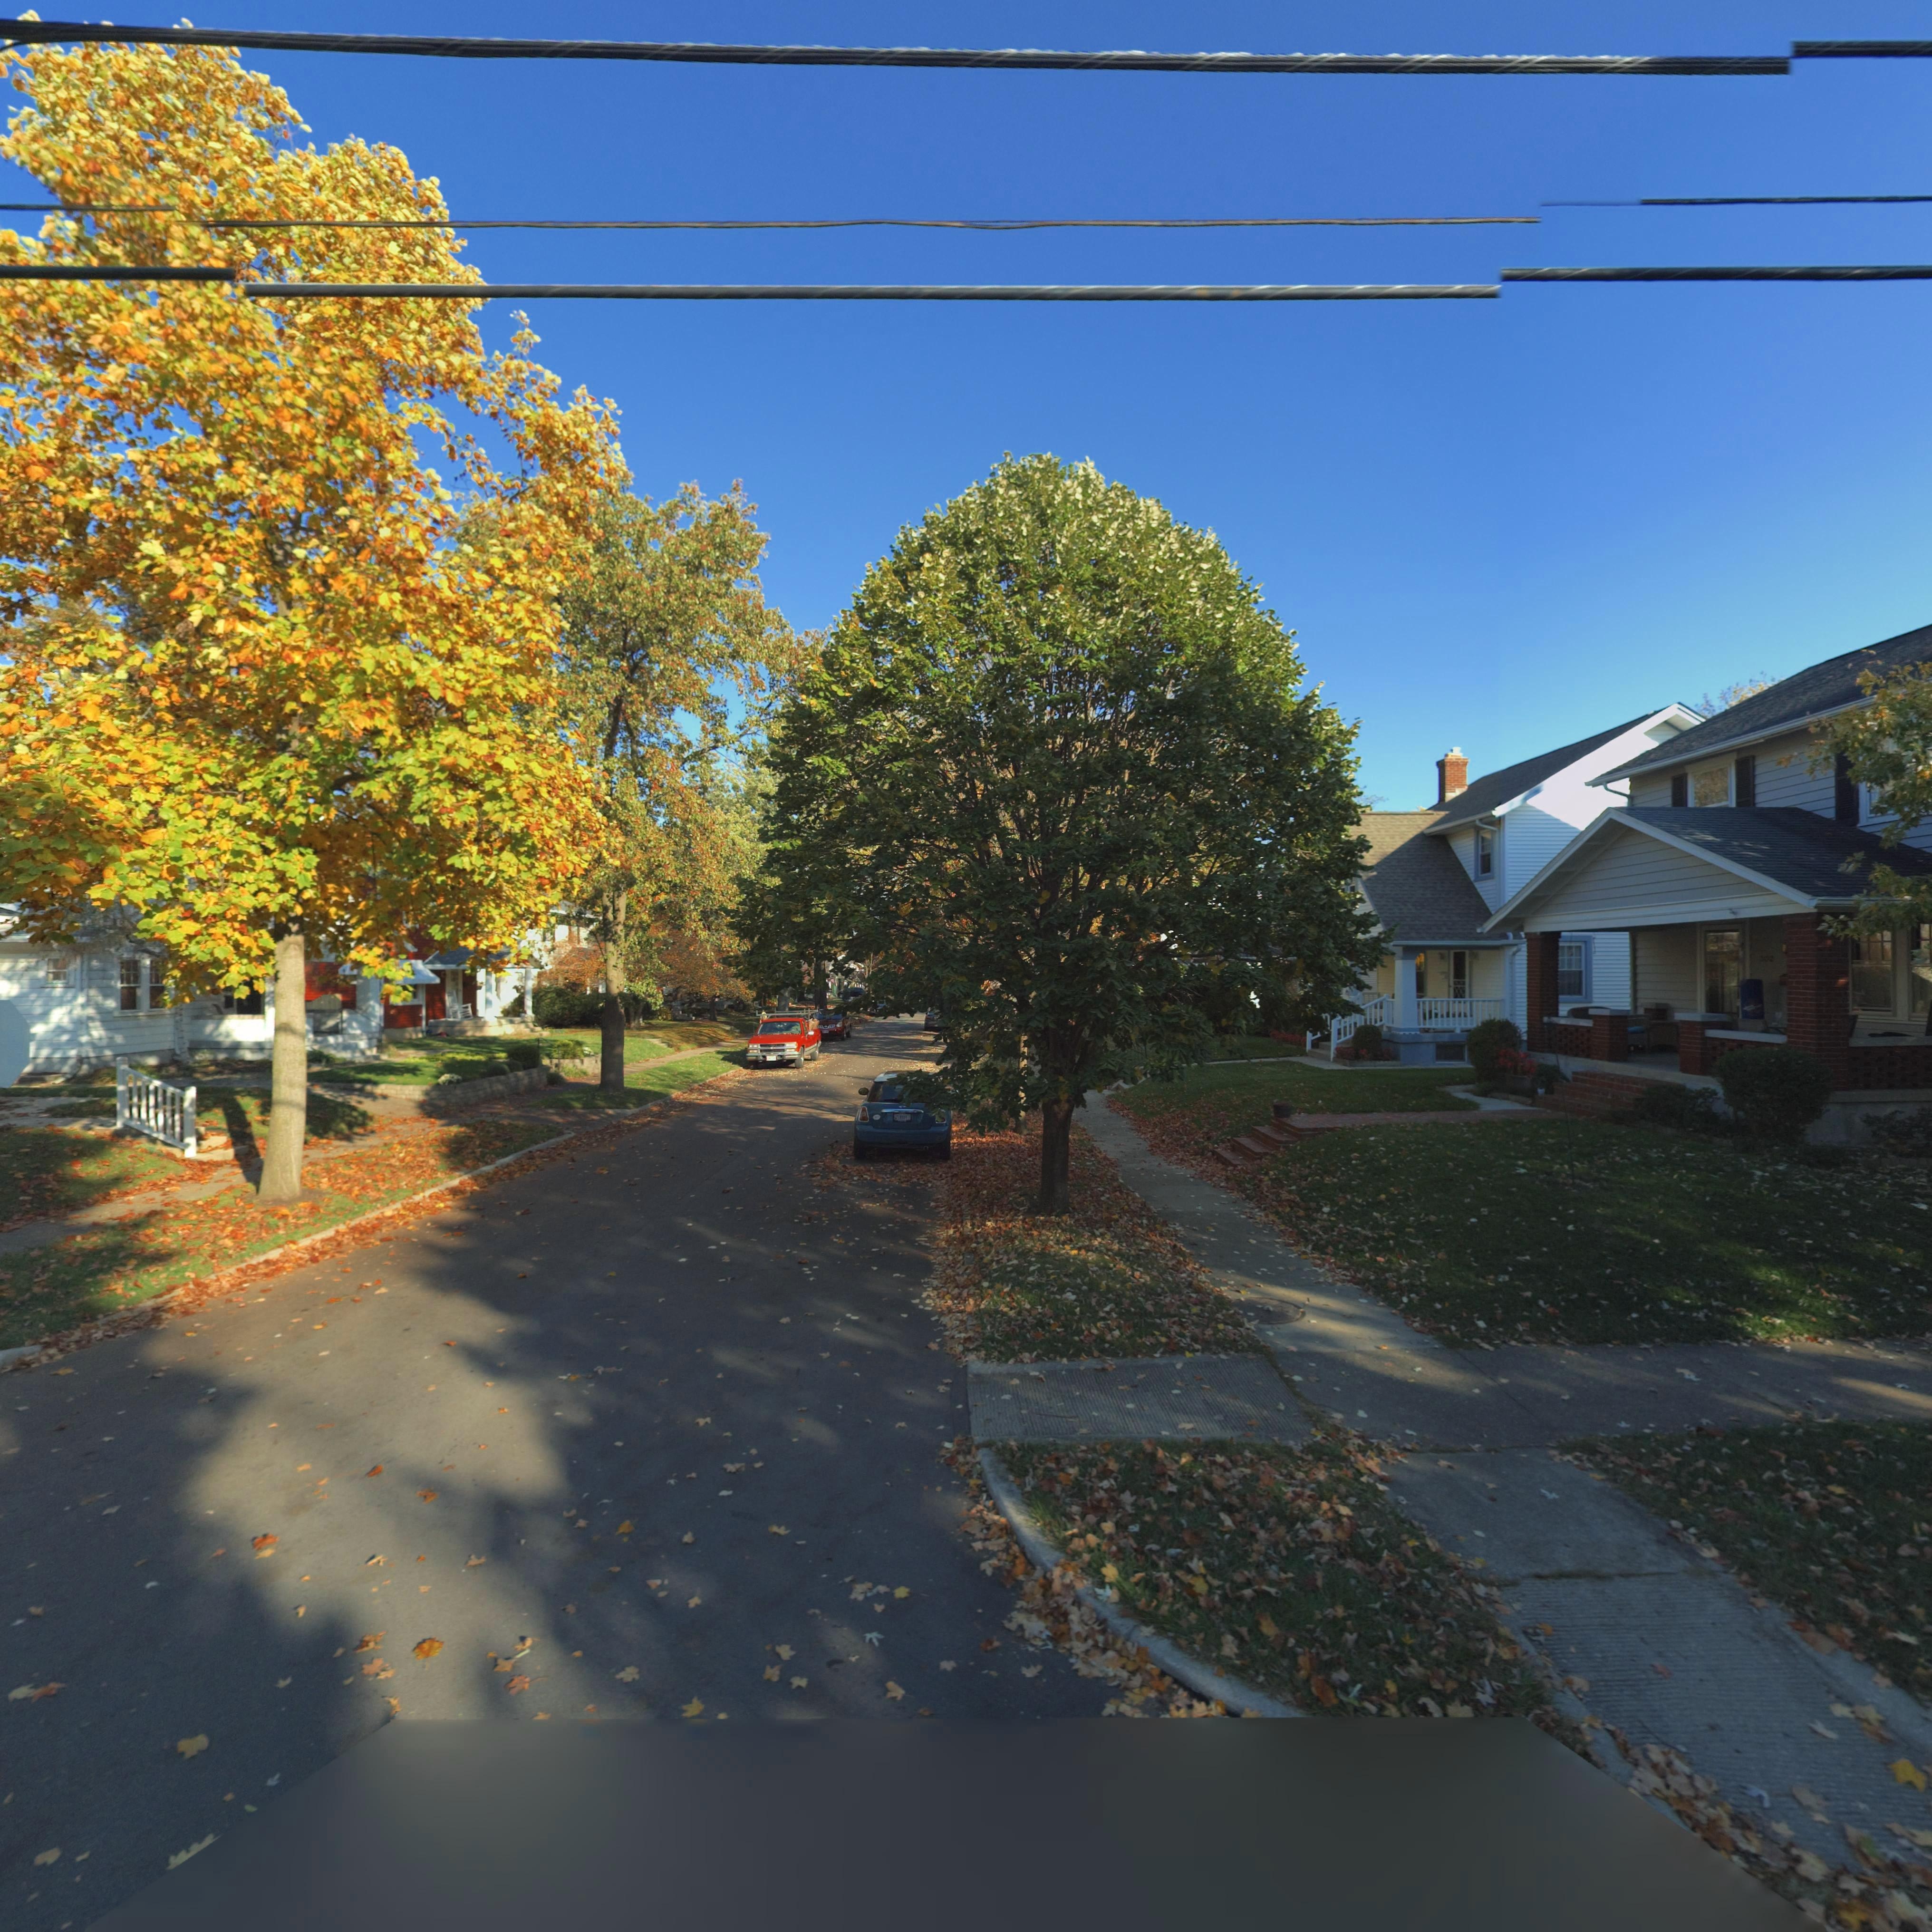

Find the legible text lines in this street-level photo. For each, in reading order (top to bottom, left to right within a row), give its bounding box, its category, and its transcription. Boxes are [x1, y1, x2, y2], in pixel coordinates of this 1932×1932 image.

[1759, 955, 1775, 963] StreetNumber: **2